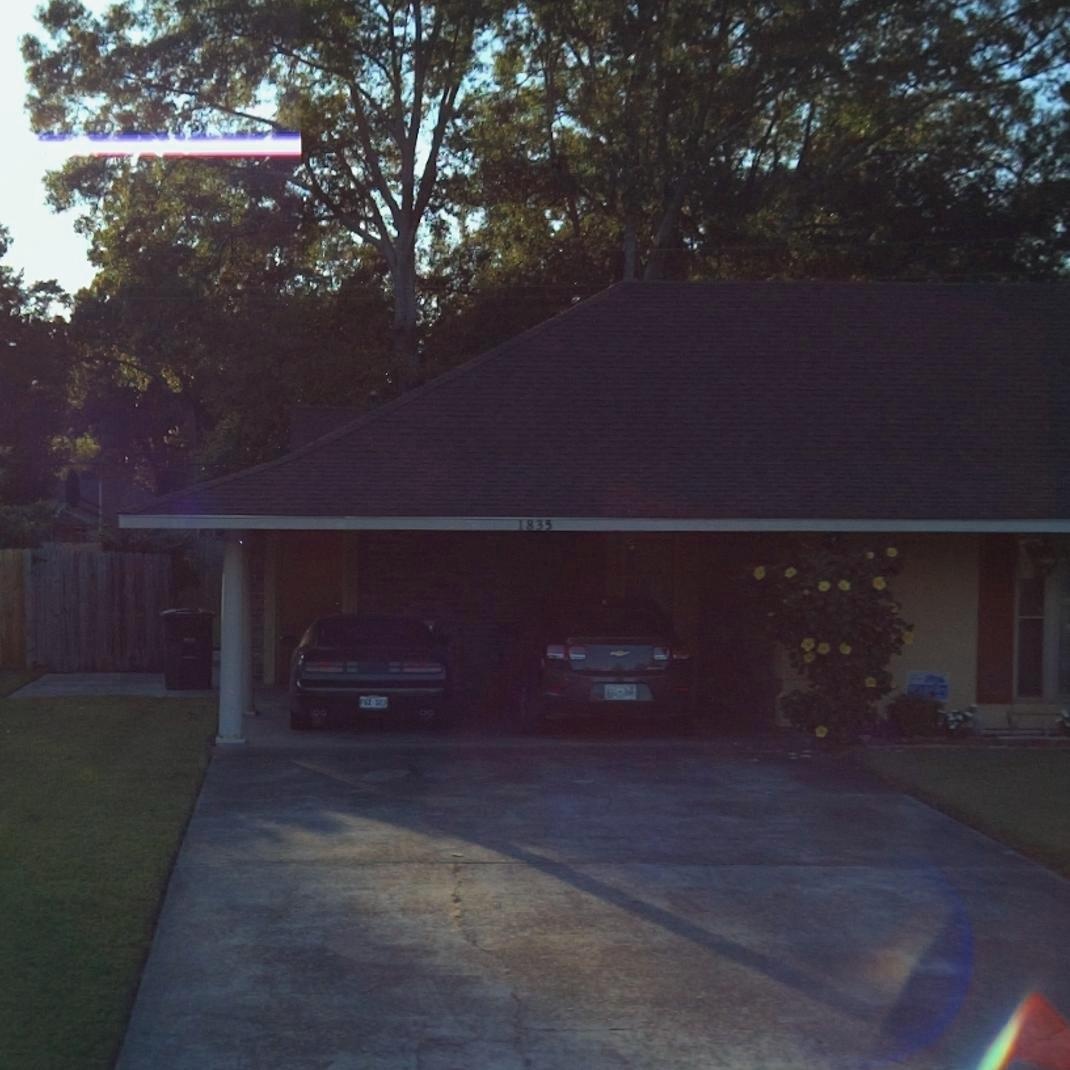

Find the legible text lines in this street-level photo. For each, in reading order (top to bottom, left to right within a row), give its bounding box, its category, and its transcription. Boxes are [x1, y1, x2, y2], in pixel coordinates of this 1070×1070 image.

[518, 519, 553, 532] StreetNumber: 1835